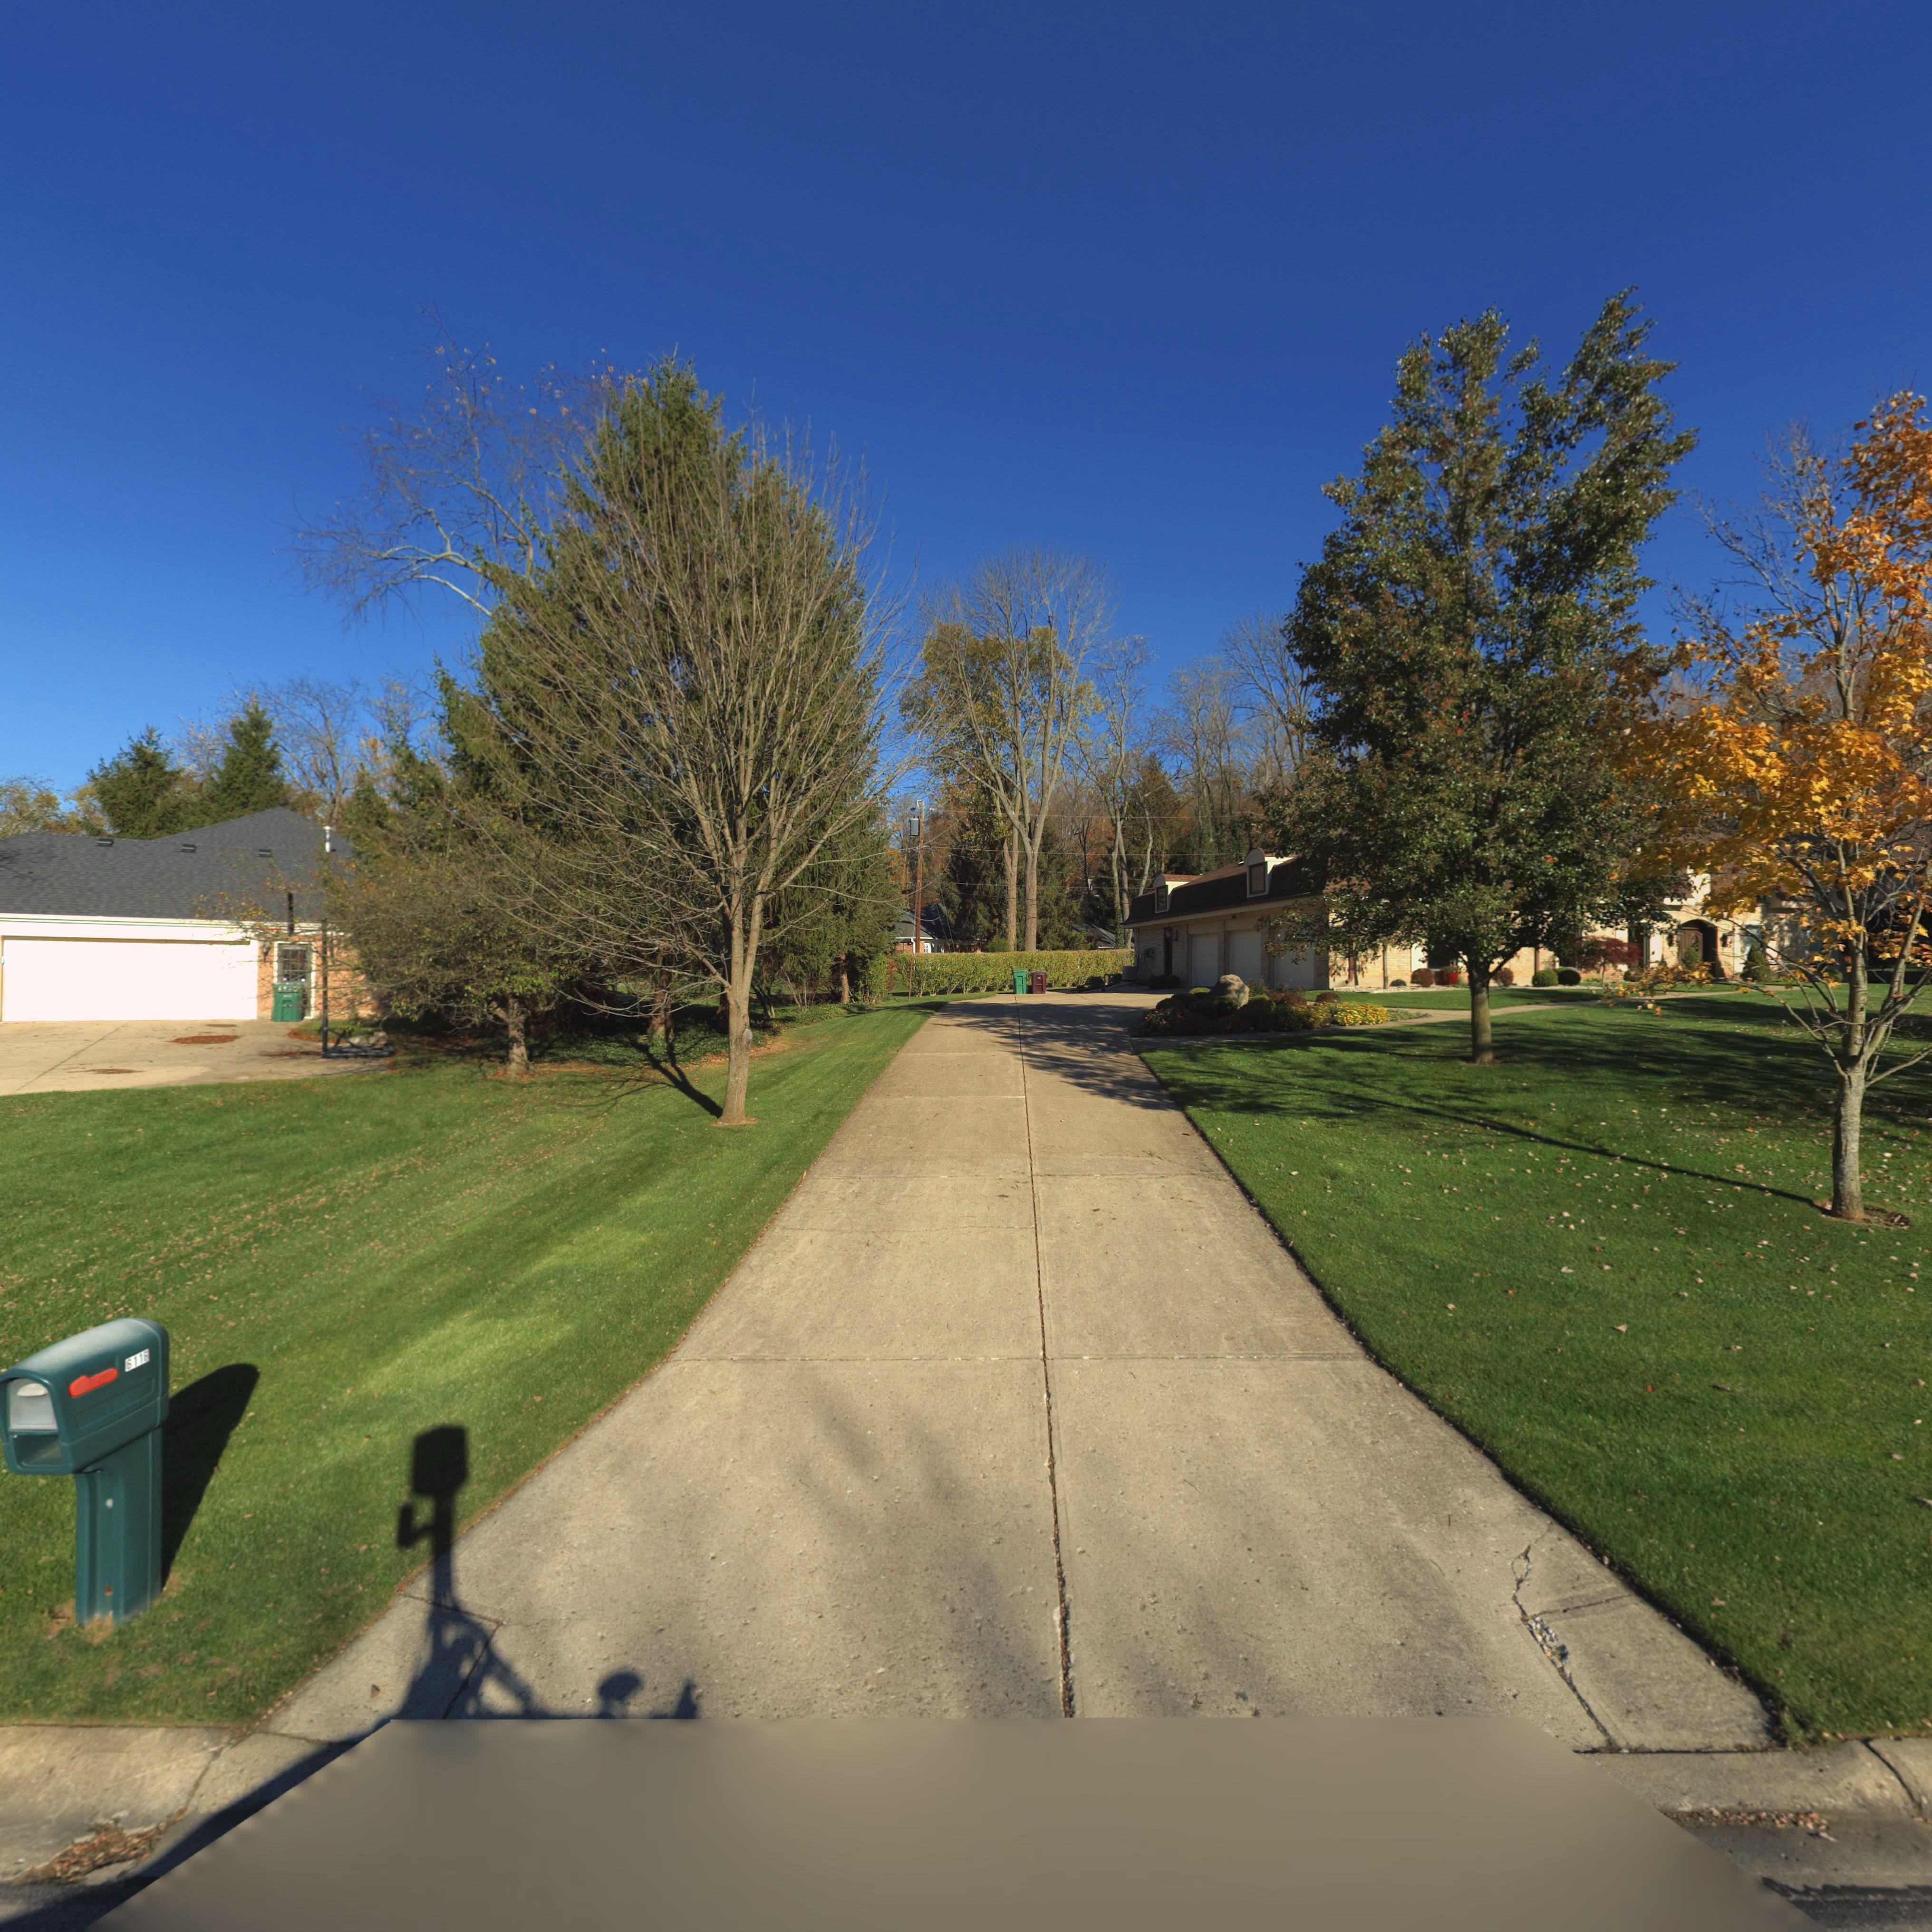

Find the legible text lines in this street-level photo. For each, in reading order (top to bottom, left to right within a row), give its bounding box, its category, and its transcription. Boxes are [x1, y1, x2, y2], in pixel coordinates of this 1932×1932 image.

[125, 1349, 149, 1372] StreetNumber: 6116